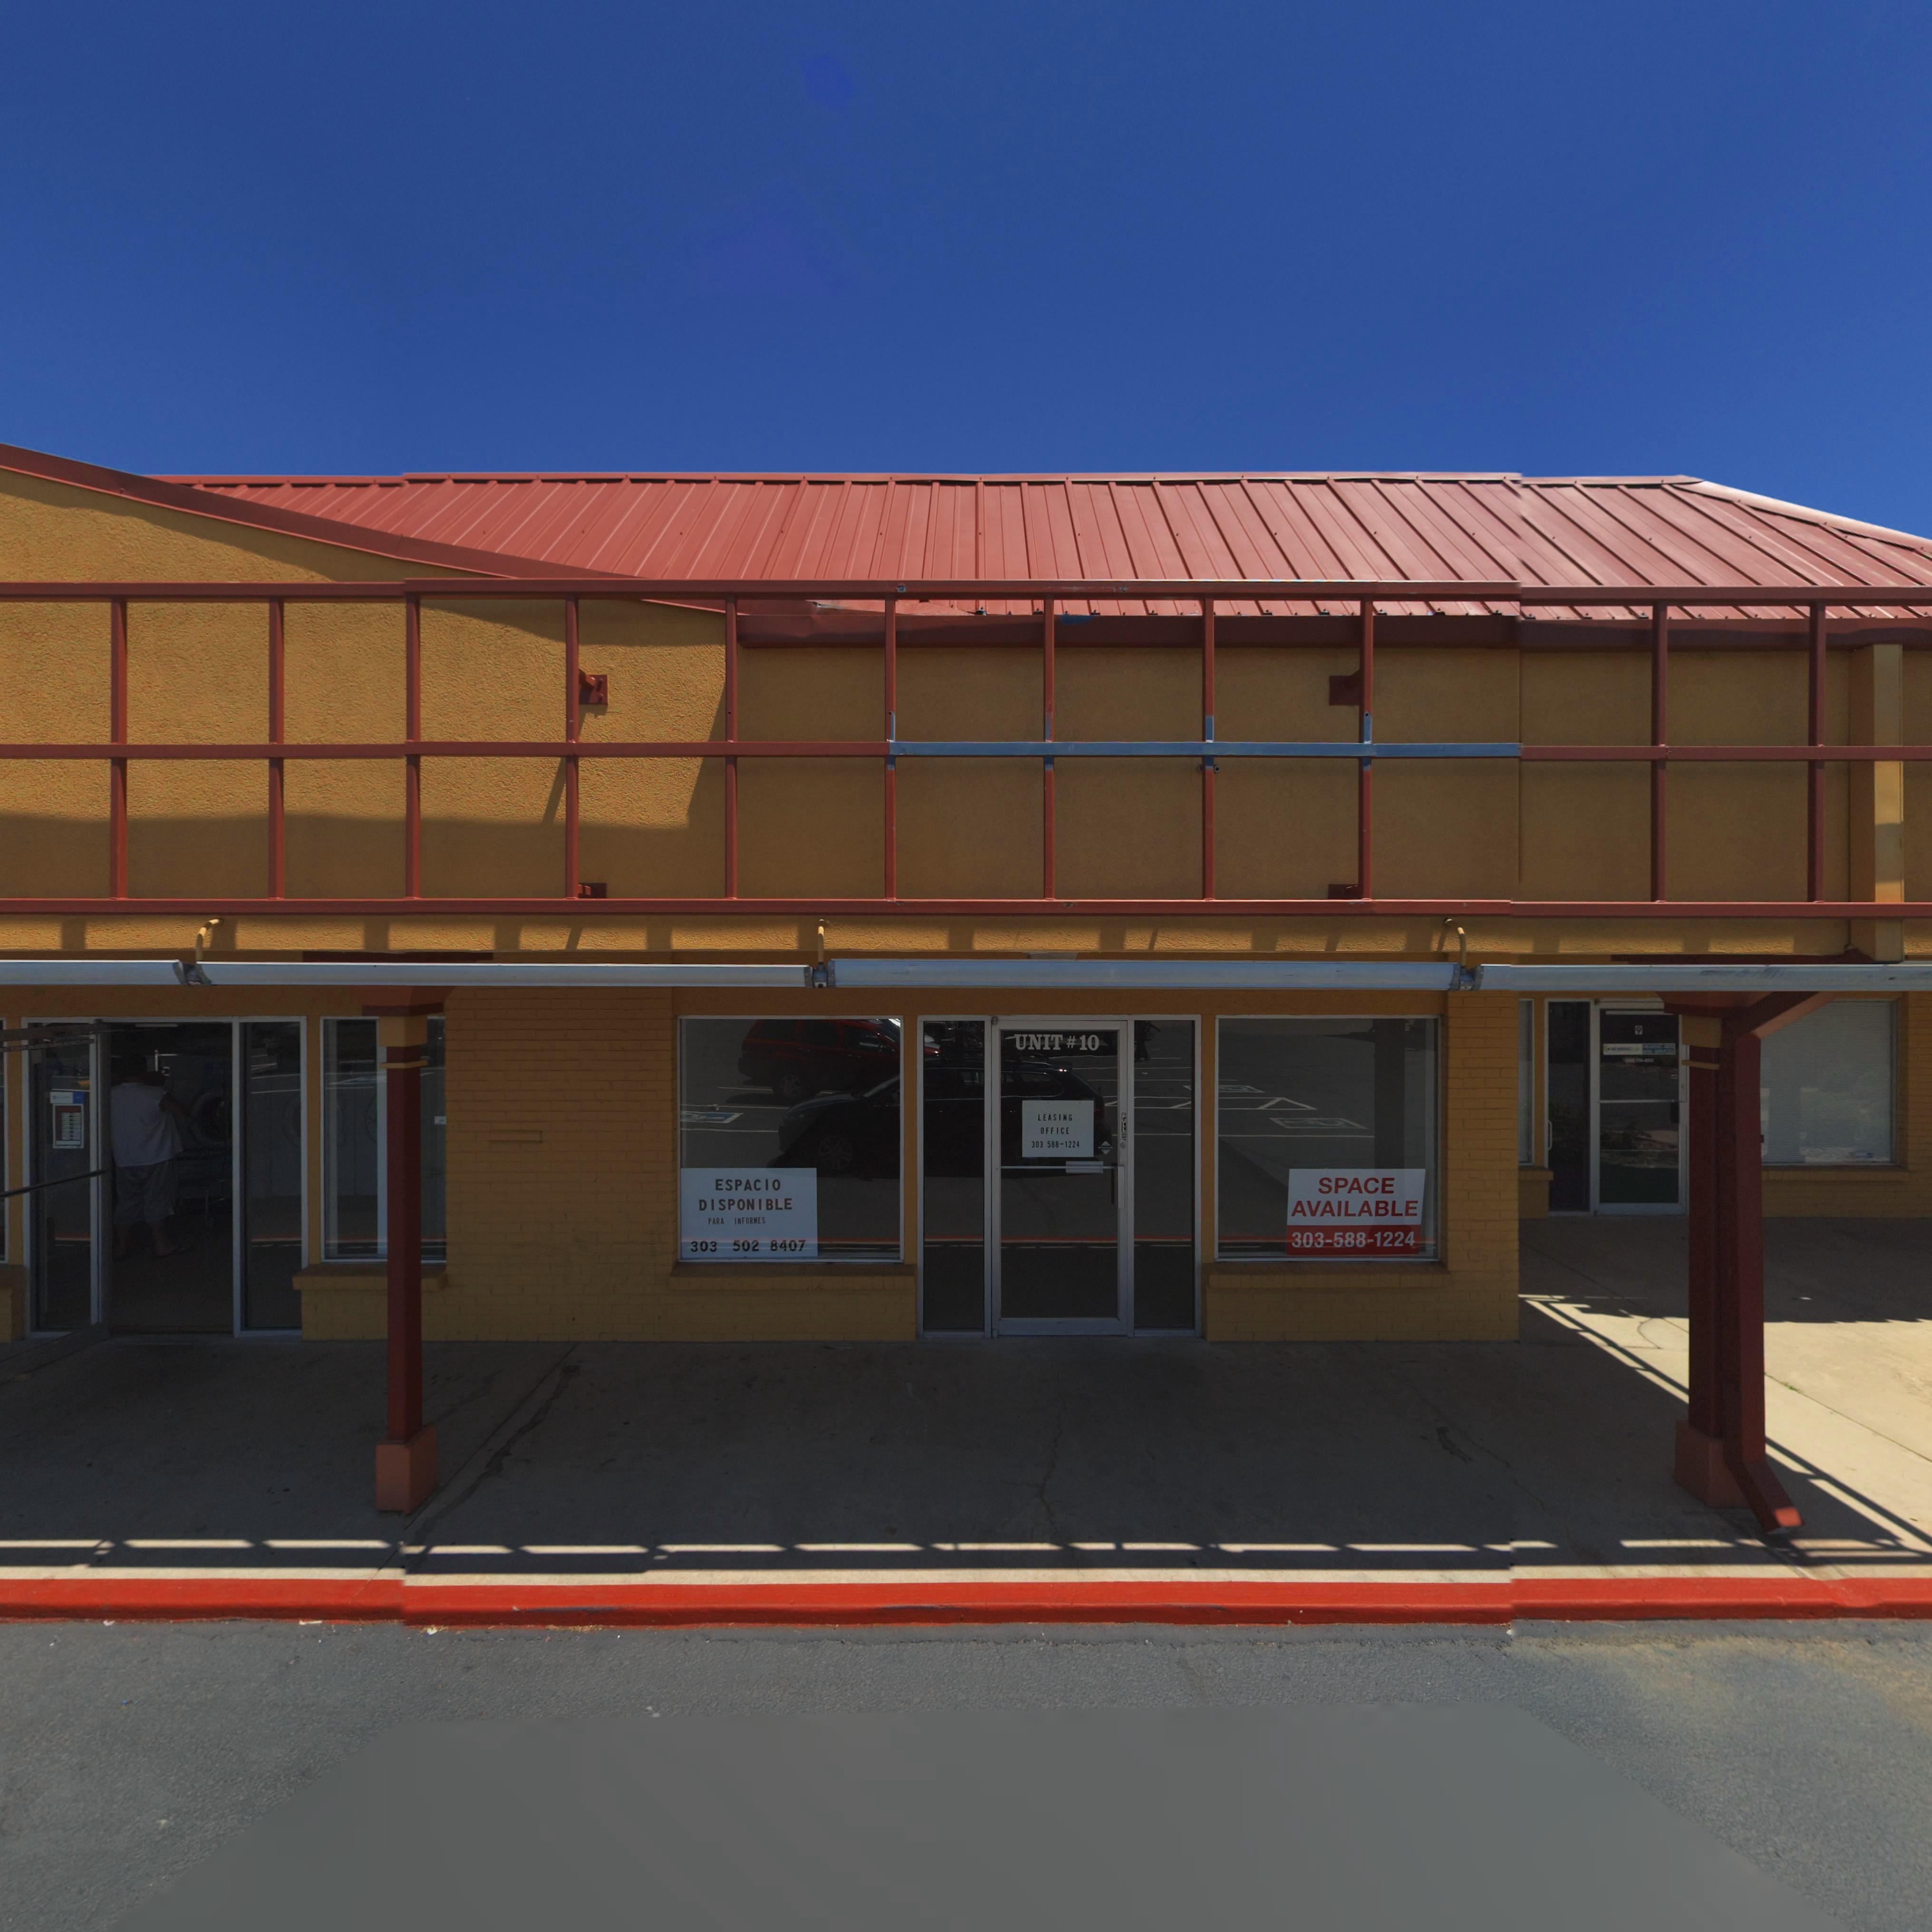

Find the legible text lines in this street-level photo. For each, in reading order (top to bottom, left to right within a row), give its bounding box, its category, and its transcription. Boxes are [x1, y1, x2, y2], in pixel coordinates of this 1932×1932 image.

[1014, 1033, 1099, 1051] SecondaryUnitDesignator: UNIT * 10